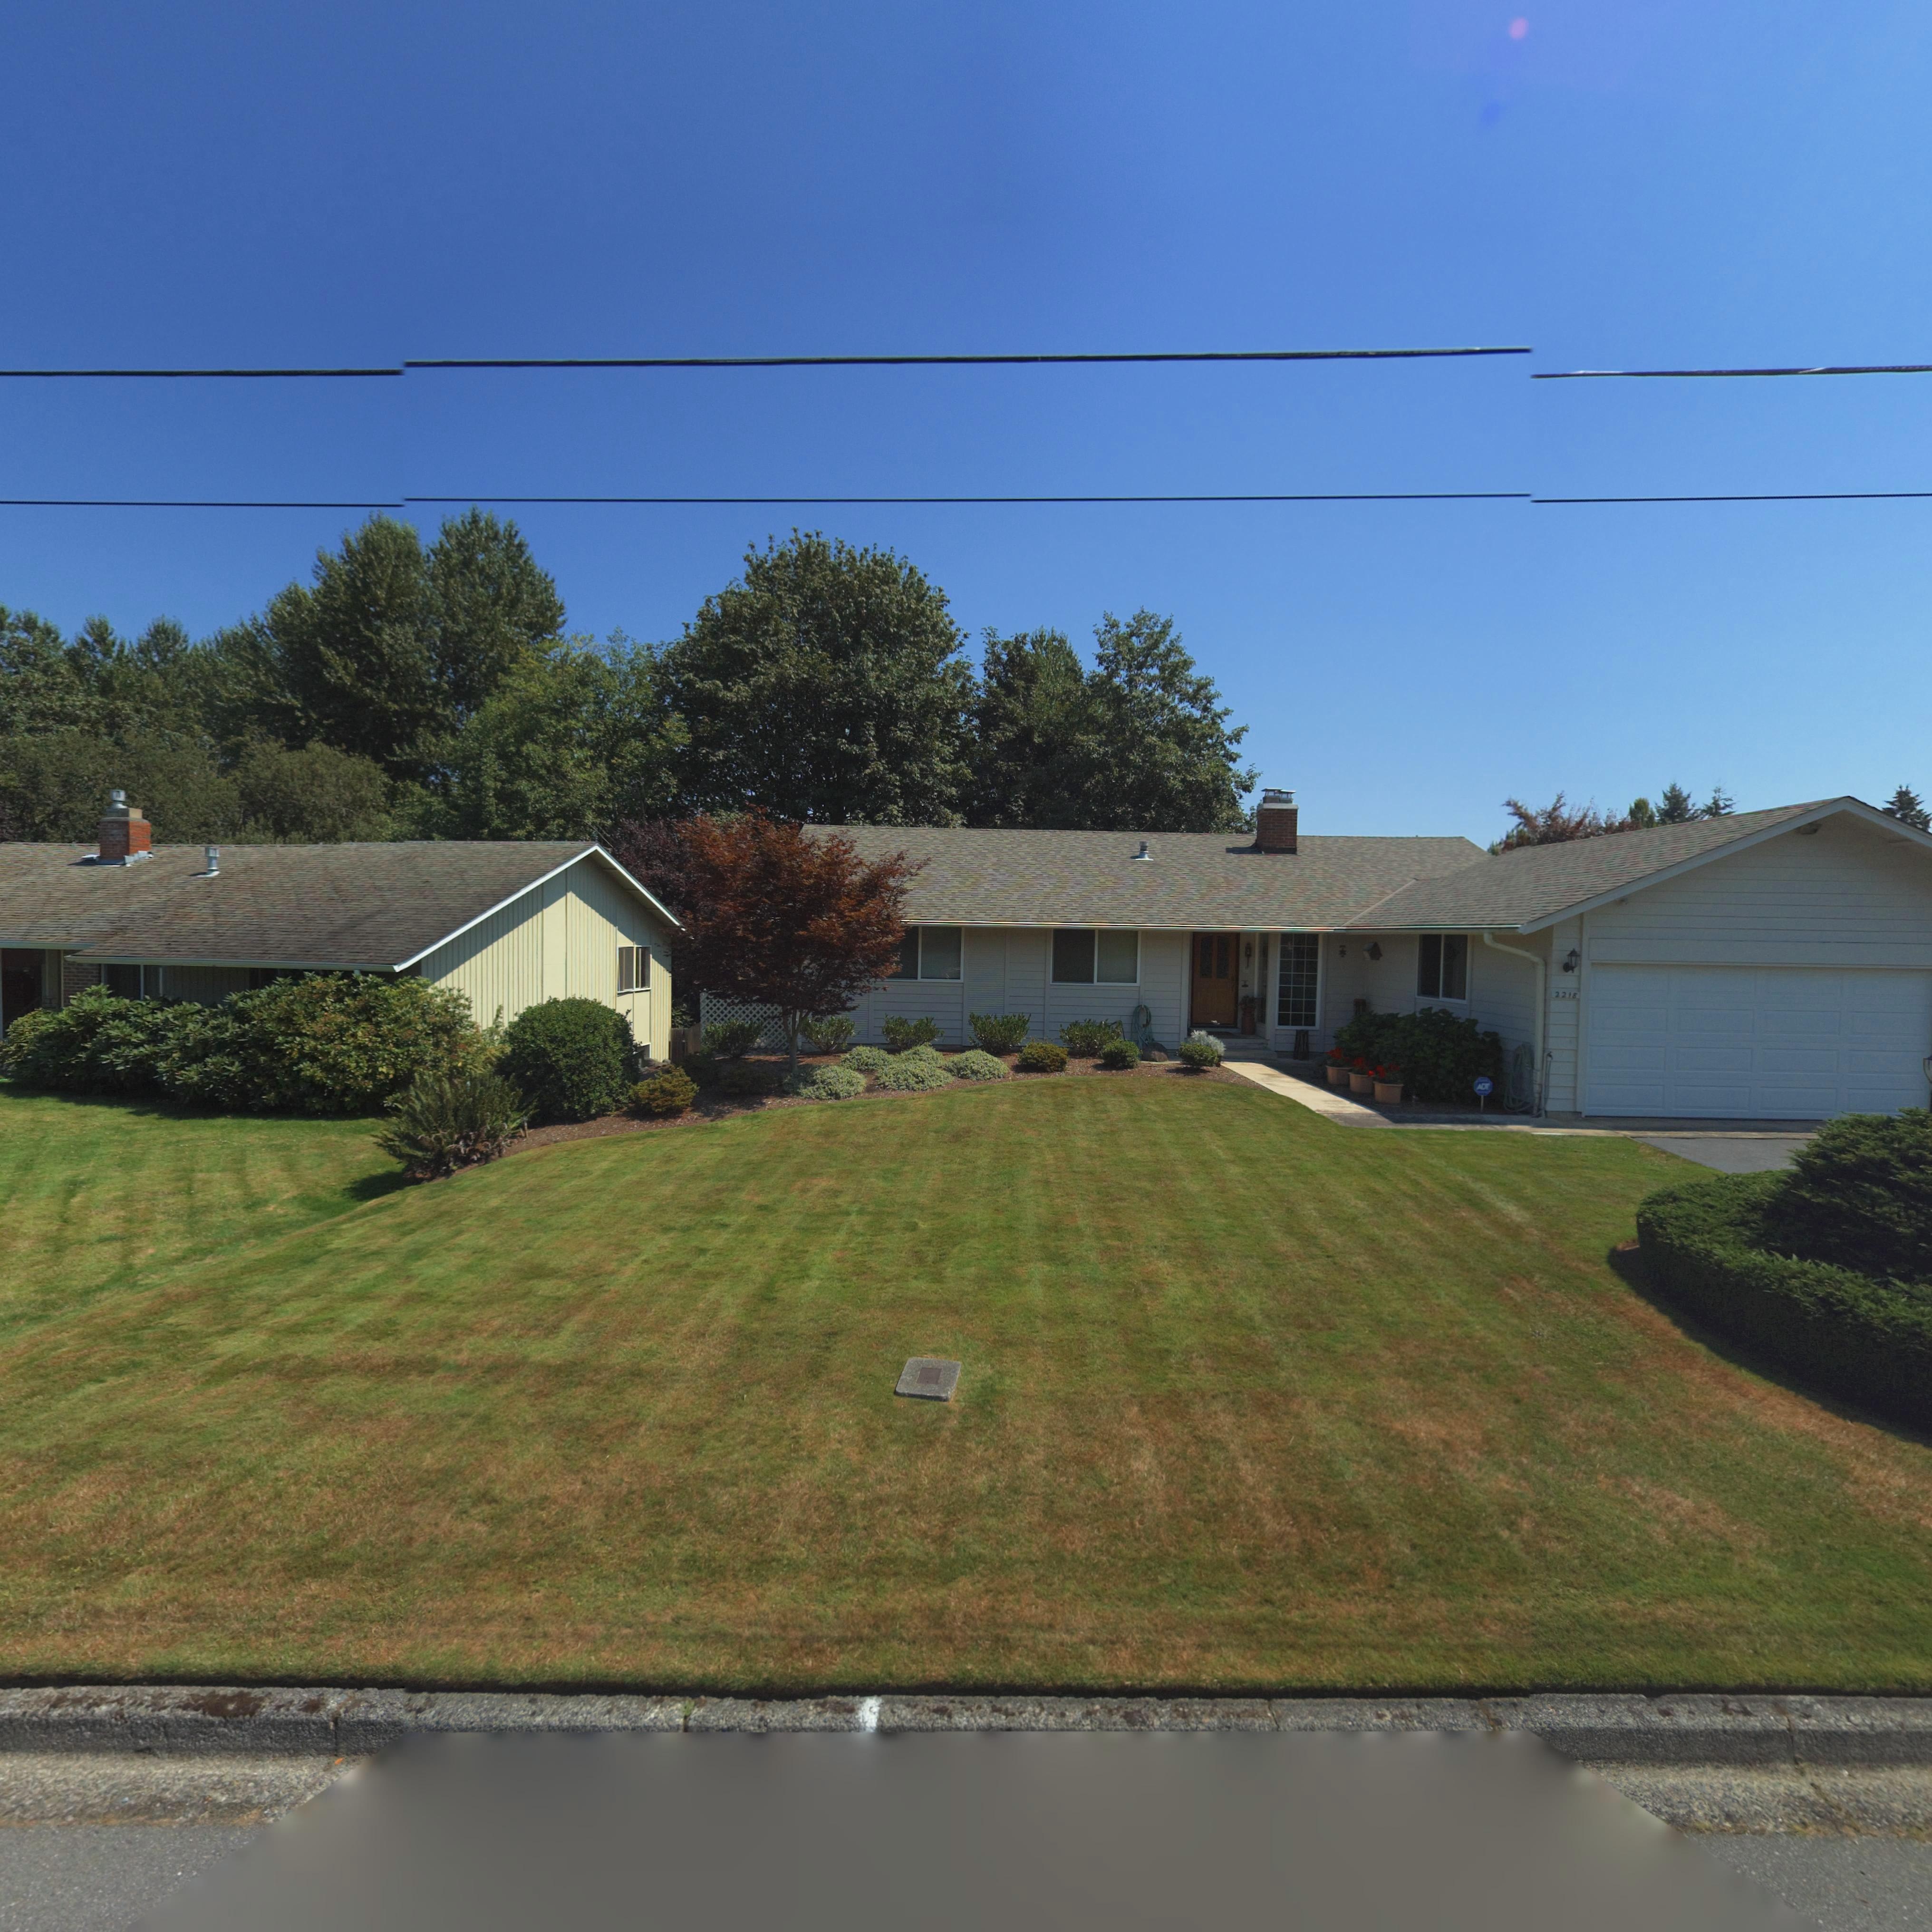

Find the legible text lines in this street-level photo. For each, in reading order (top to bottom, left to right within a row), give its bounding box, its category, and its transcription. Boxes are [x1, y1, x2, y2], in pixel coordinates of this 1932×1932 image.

[1552, 988, 1580, 1001] StreetNumber: 2218